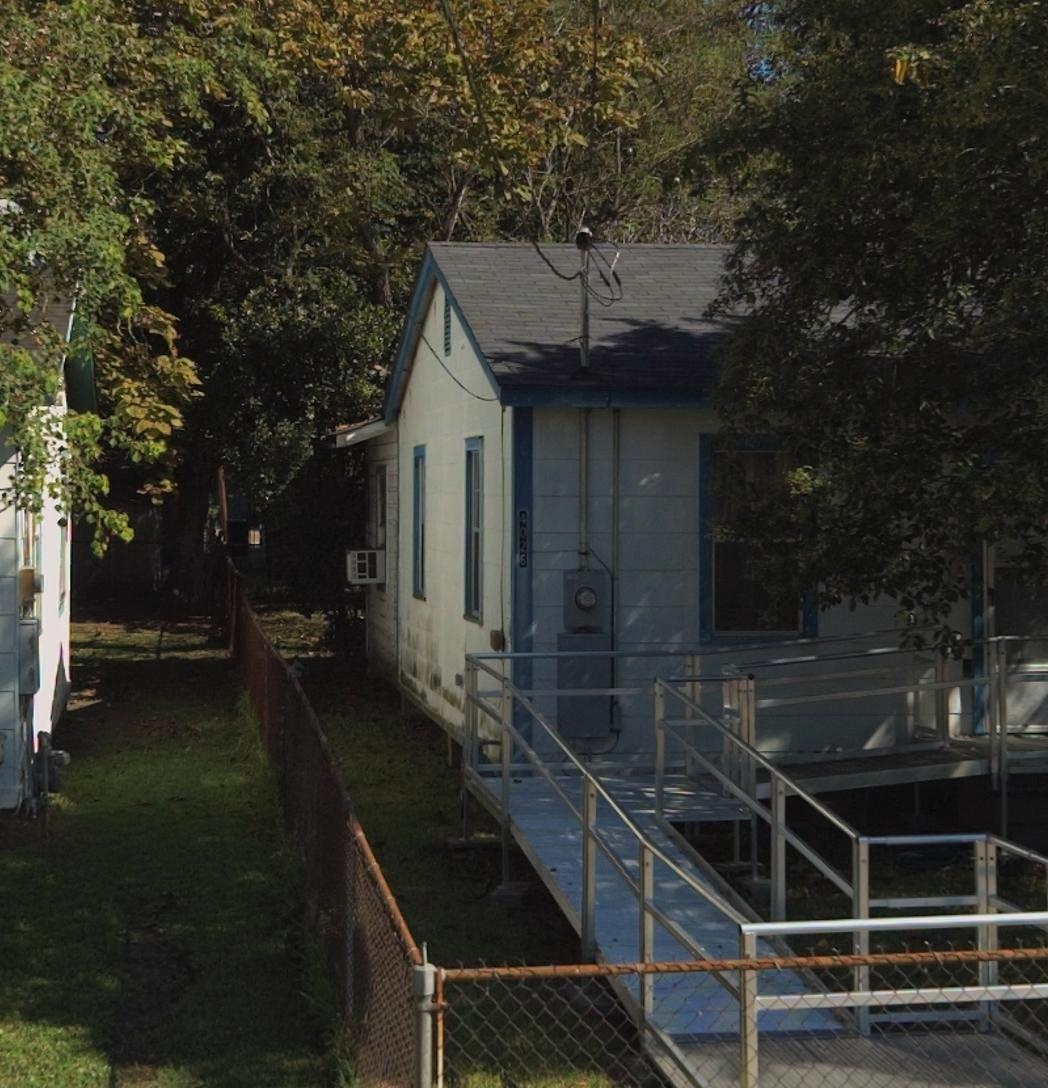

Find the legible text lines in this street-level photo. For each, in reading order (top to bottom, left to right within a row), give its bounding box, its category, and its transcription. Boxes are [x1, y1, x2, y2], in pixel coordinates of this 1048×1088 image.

[519, 512, 527, 567] StreetNumber: 4025